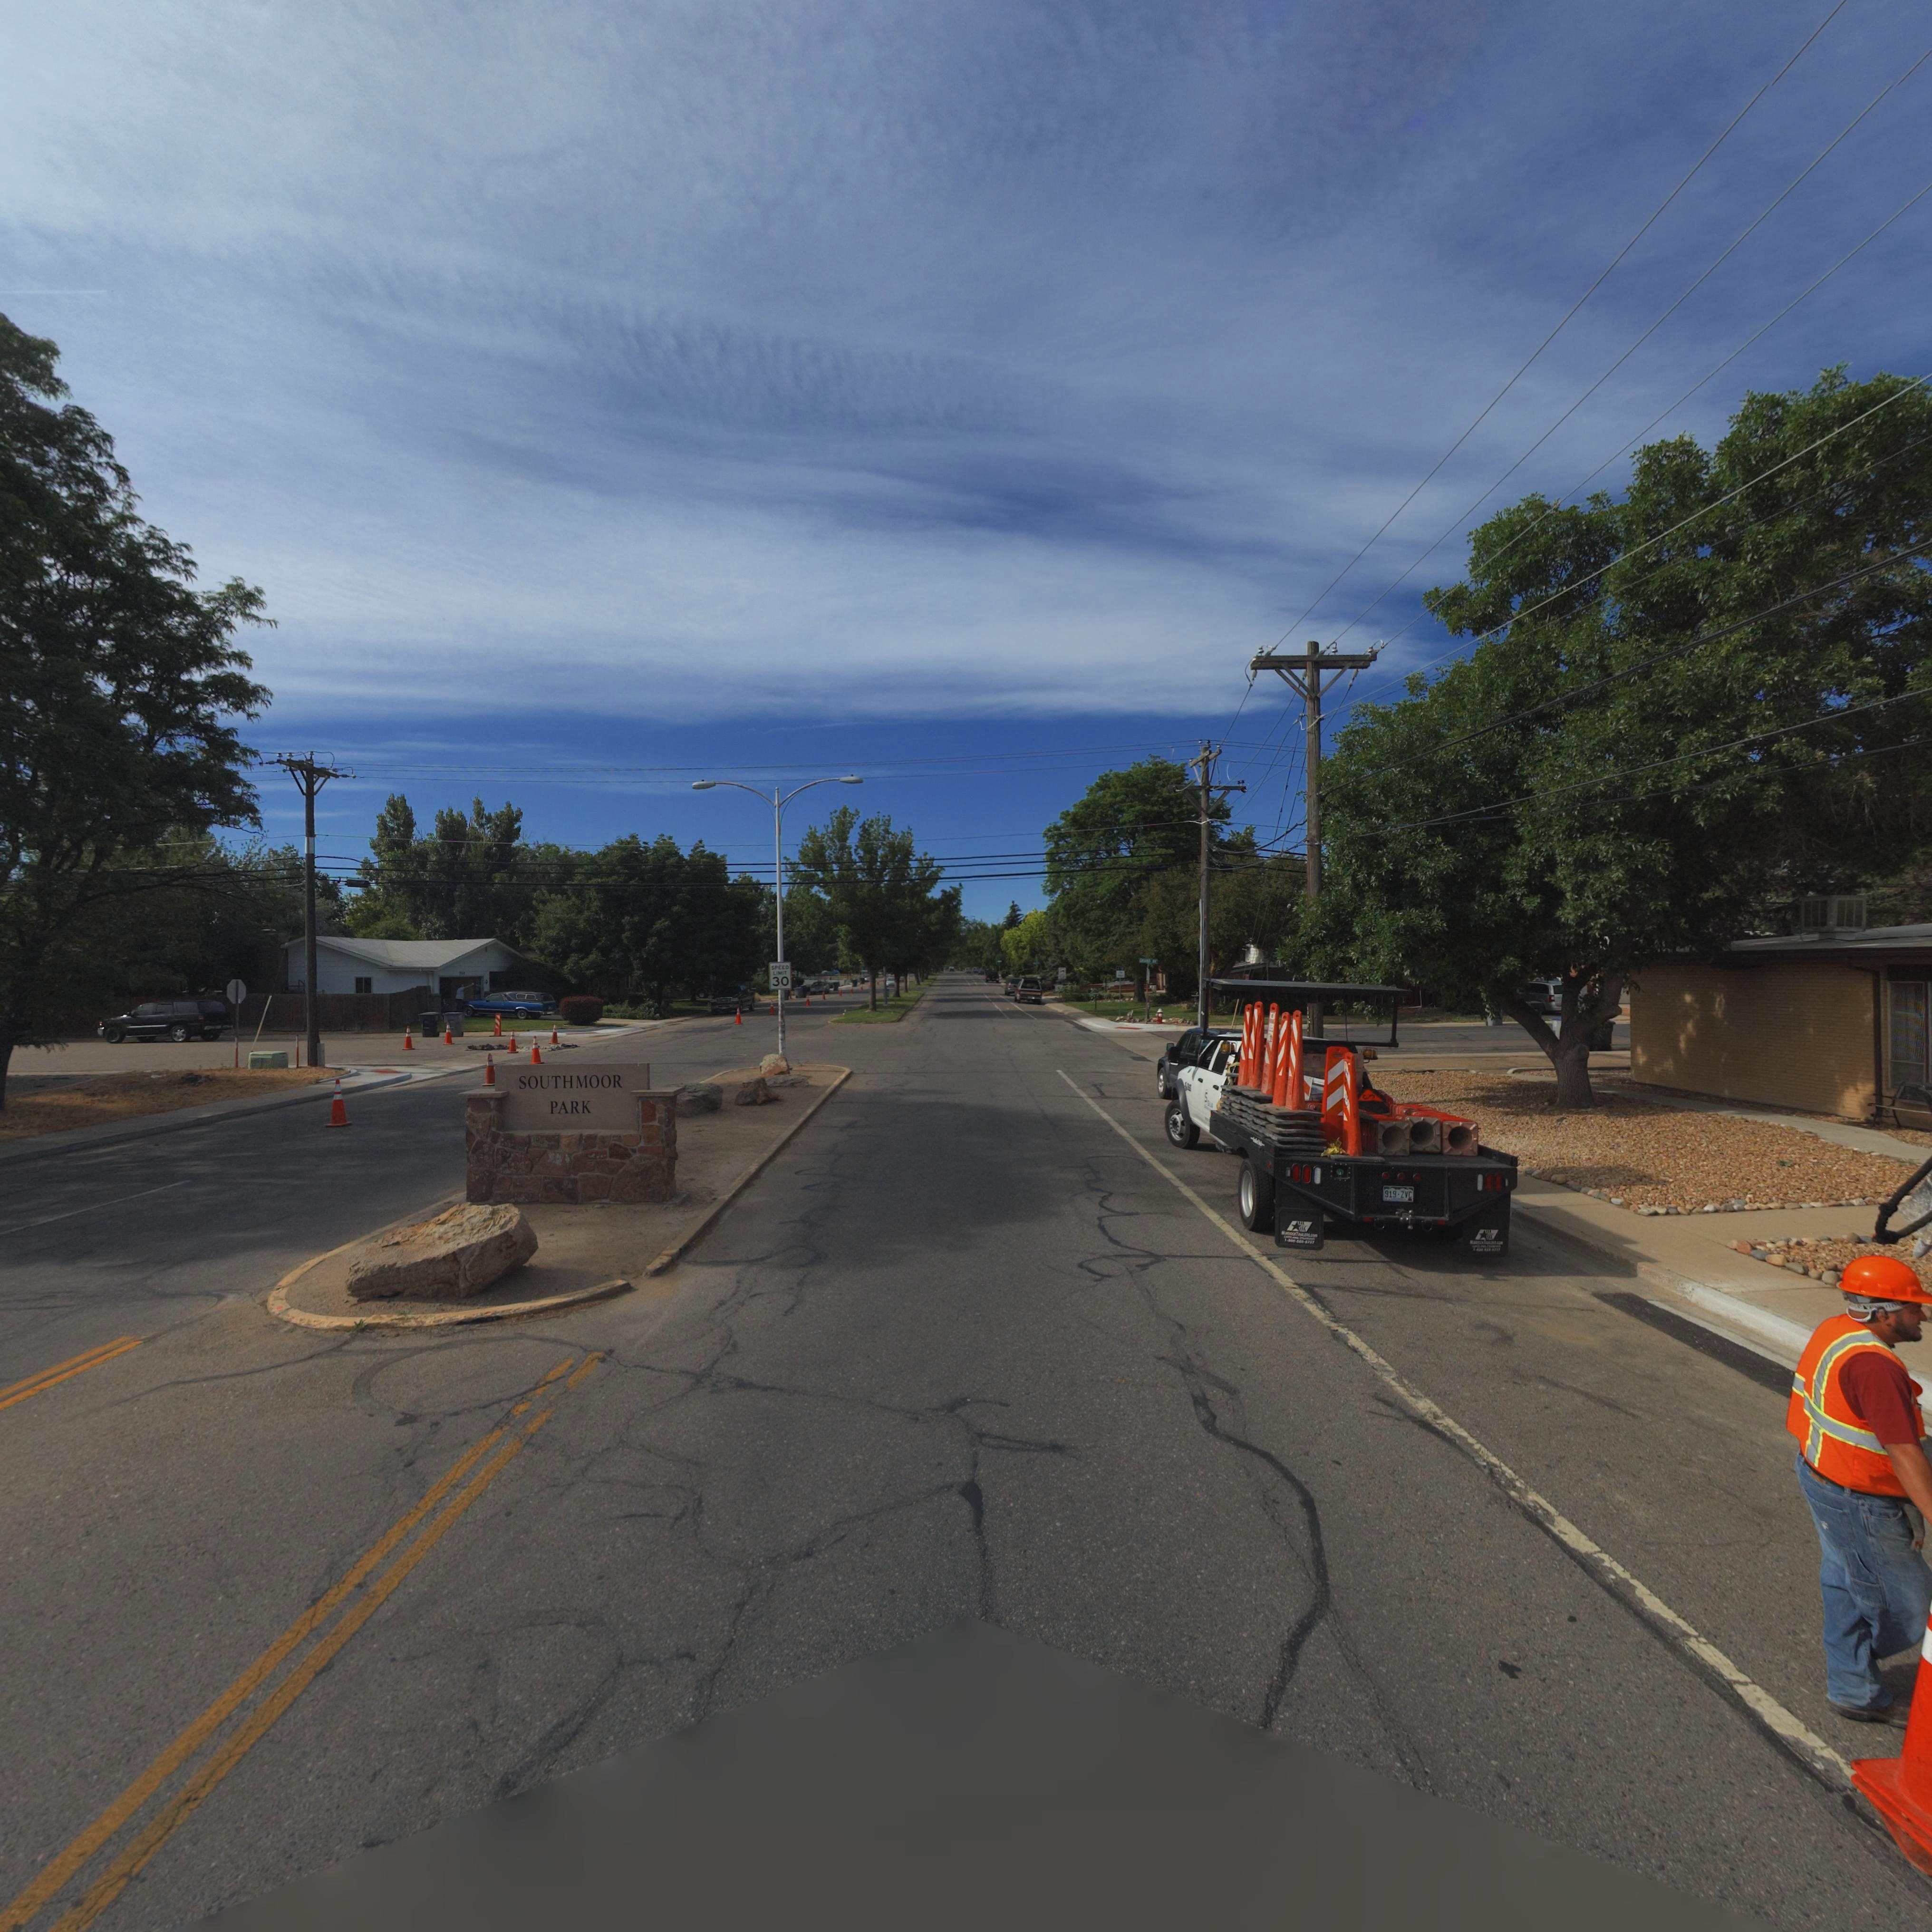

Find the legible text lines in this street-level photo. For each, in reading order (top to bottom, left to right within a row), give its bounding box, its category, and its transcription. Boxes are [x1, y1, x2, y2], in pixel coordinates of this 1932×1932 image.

[1139, 958, 1157, 963] StreetName: GRAND **
[459, 971, 465, 975] StreetNumber: 3**